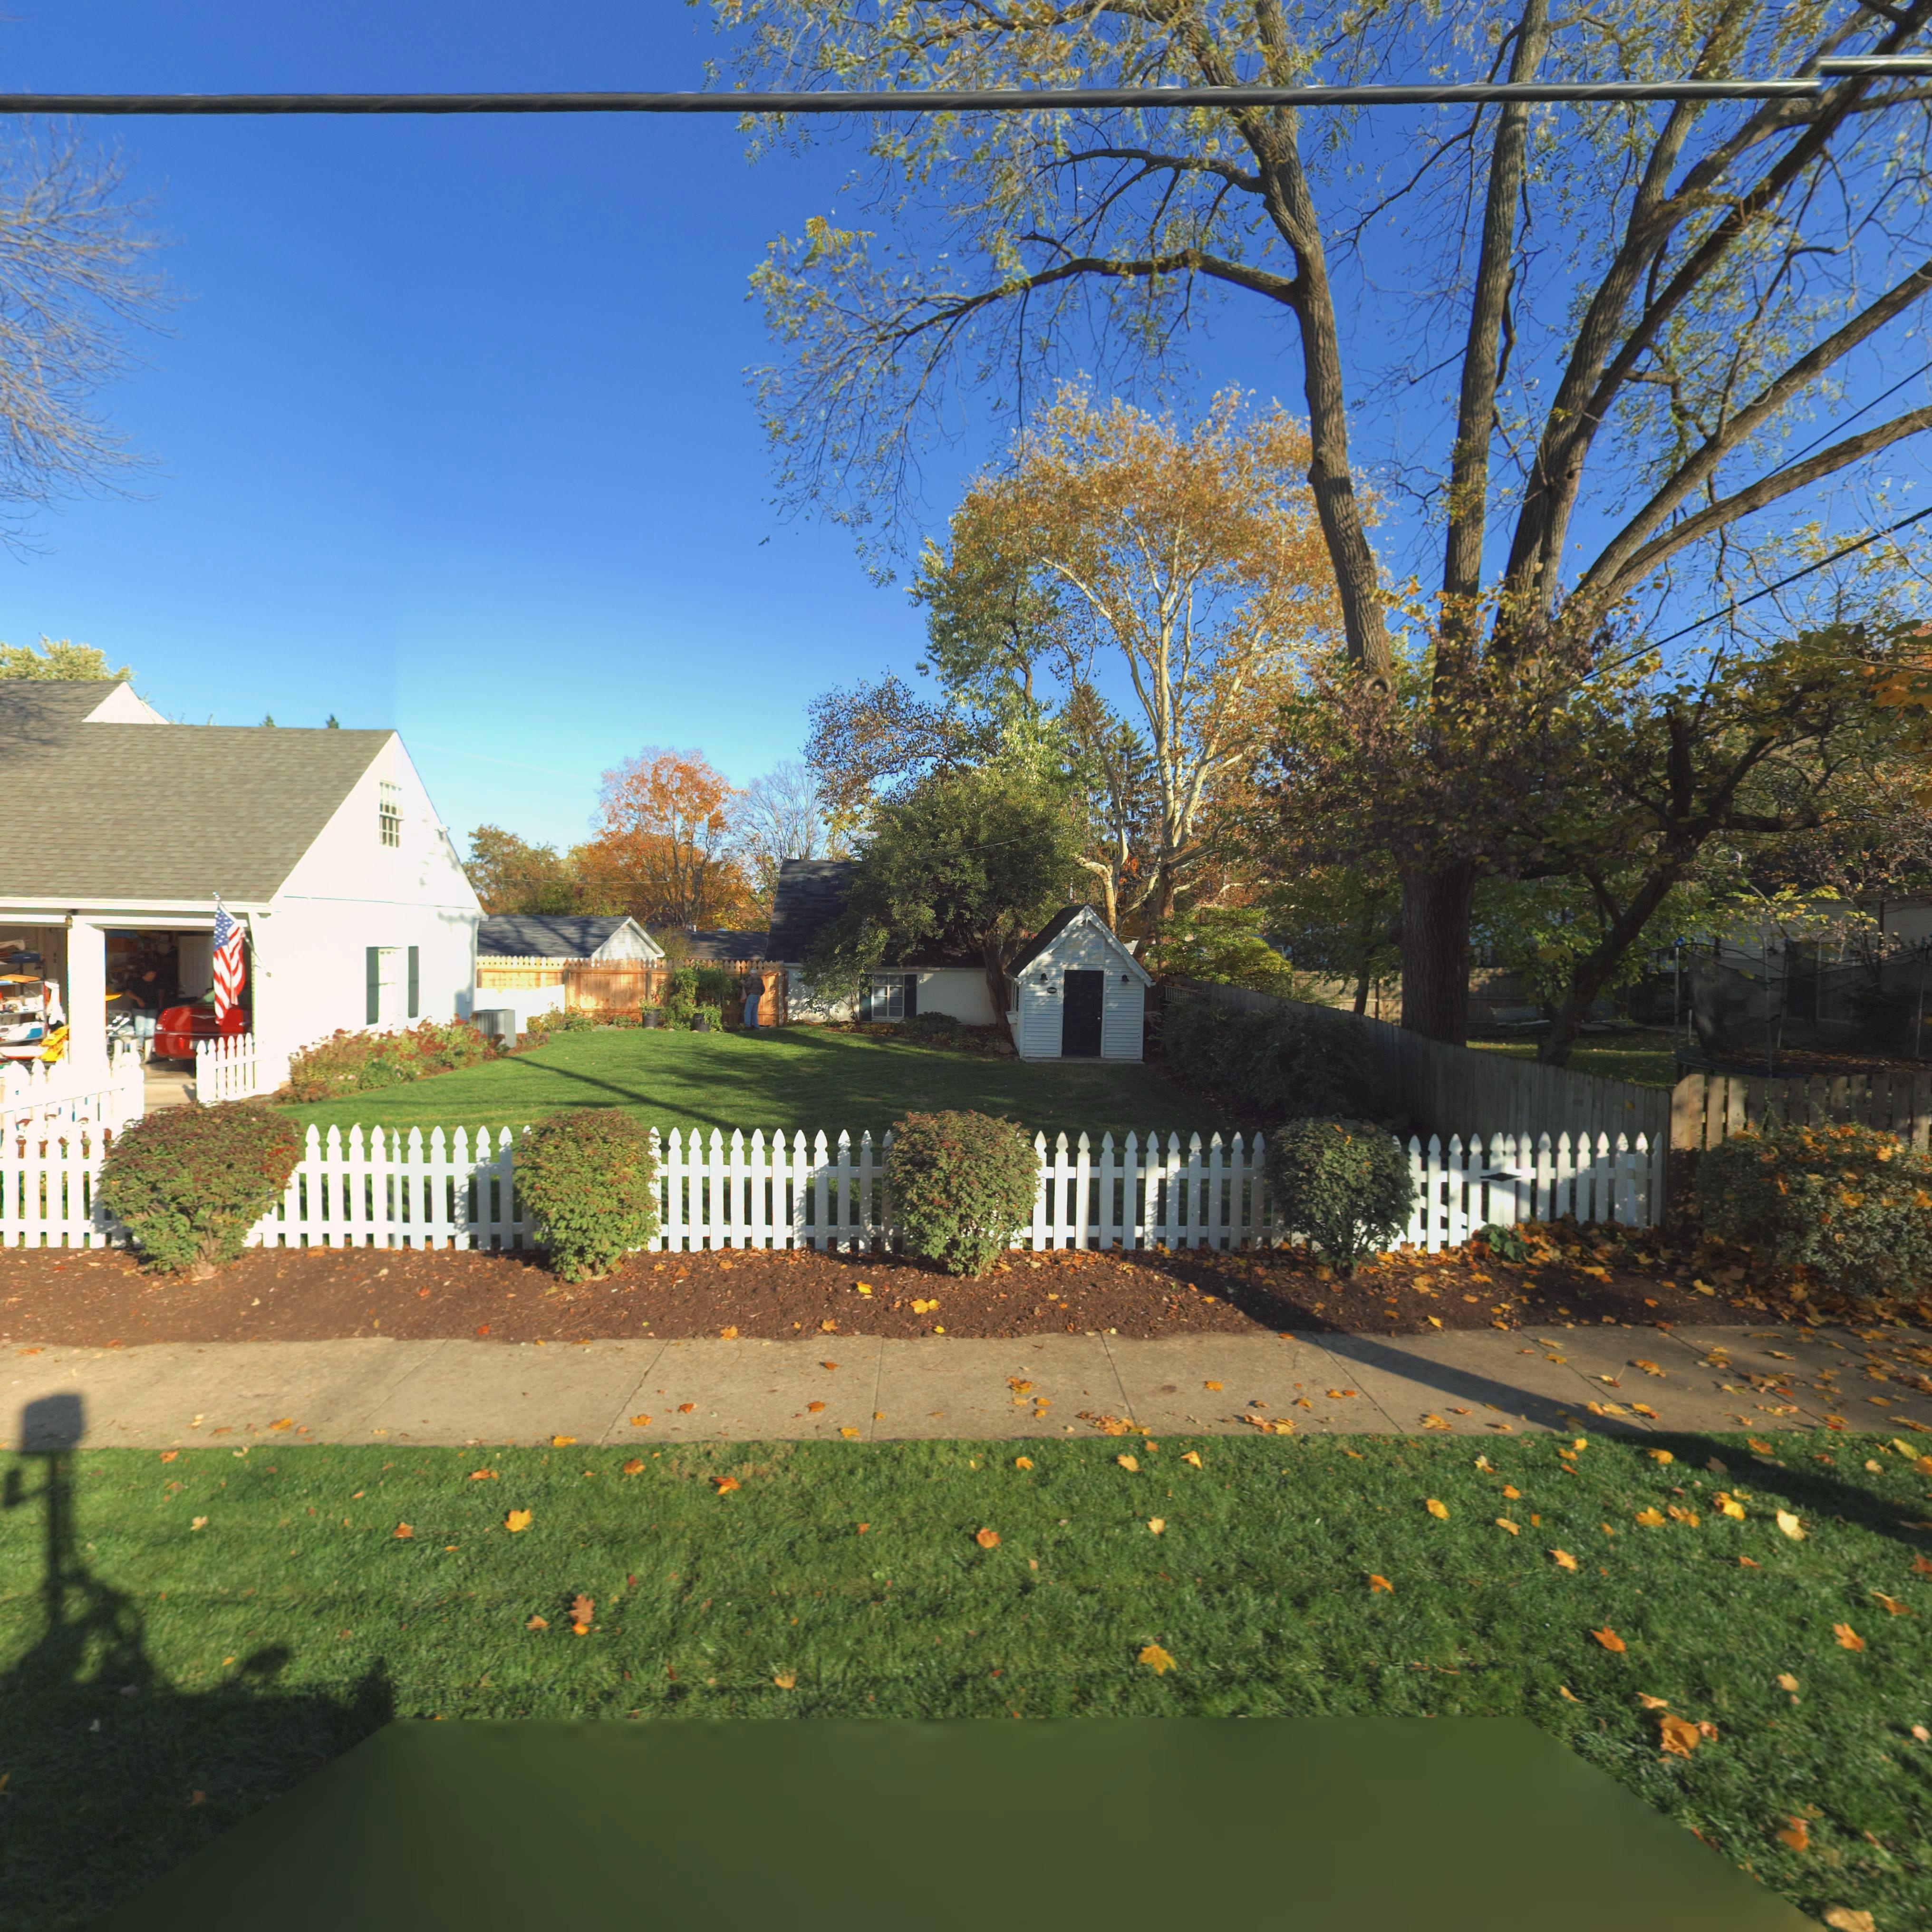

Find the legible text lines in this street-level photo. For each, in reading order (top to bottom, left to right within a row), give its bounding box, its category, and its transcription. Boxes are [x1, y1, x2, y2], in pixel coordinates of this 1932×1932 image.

[1048, 988, 1056, 992] StreetNumber: 1200